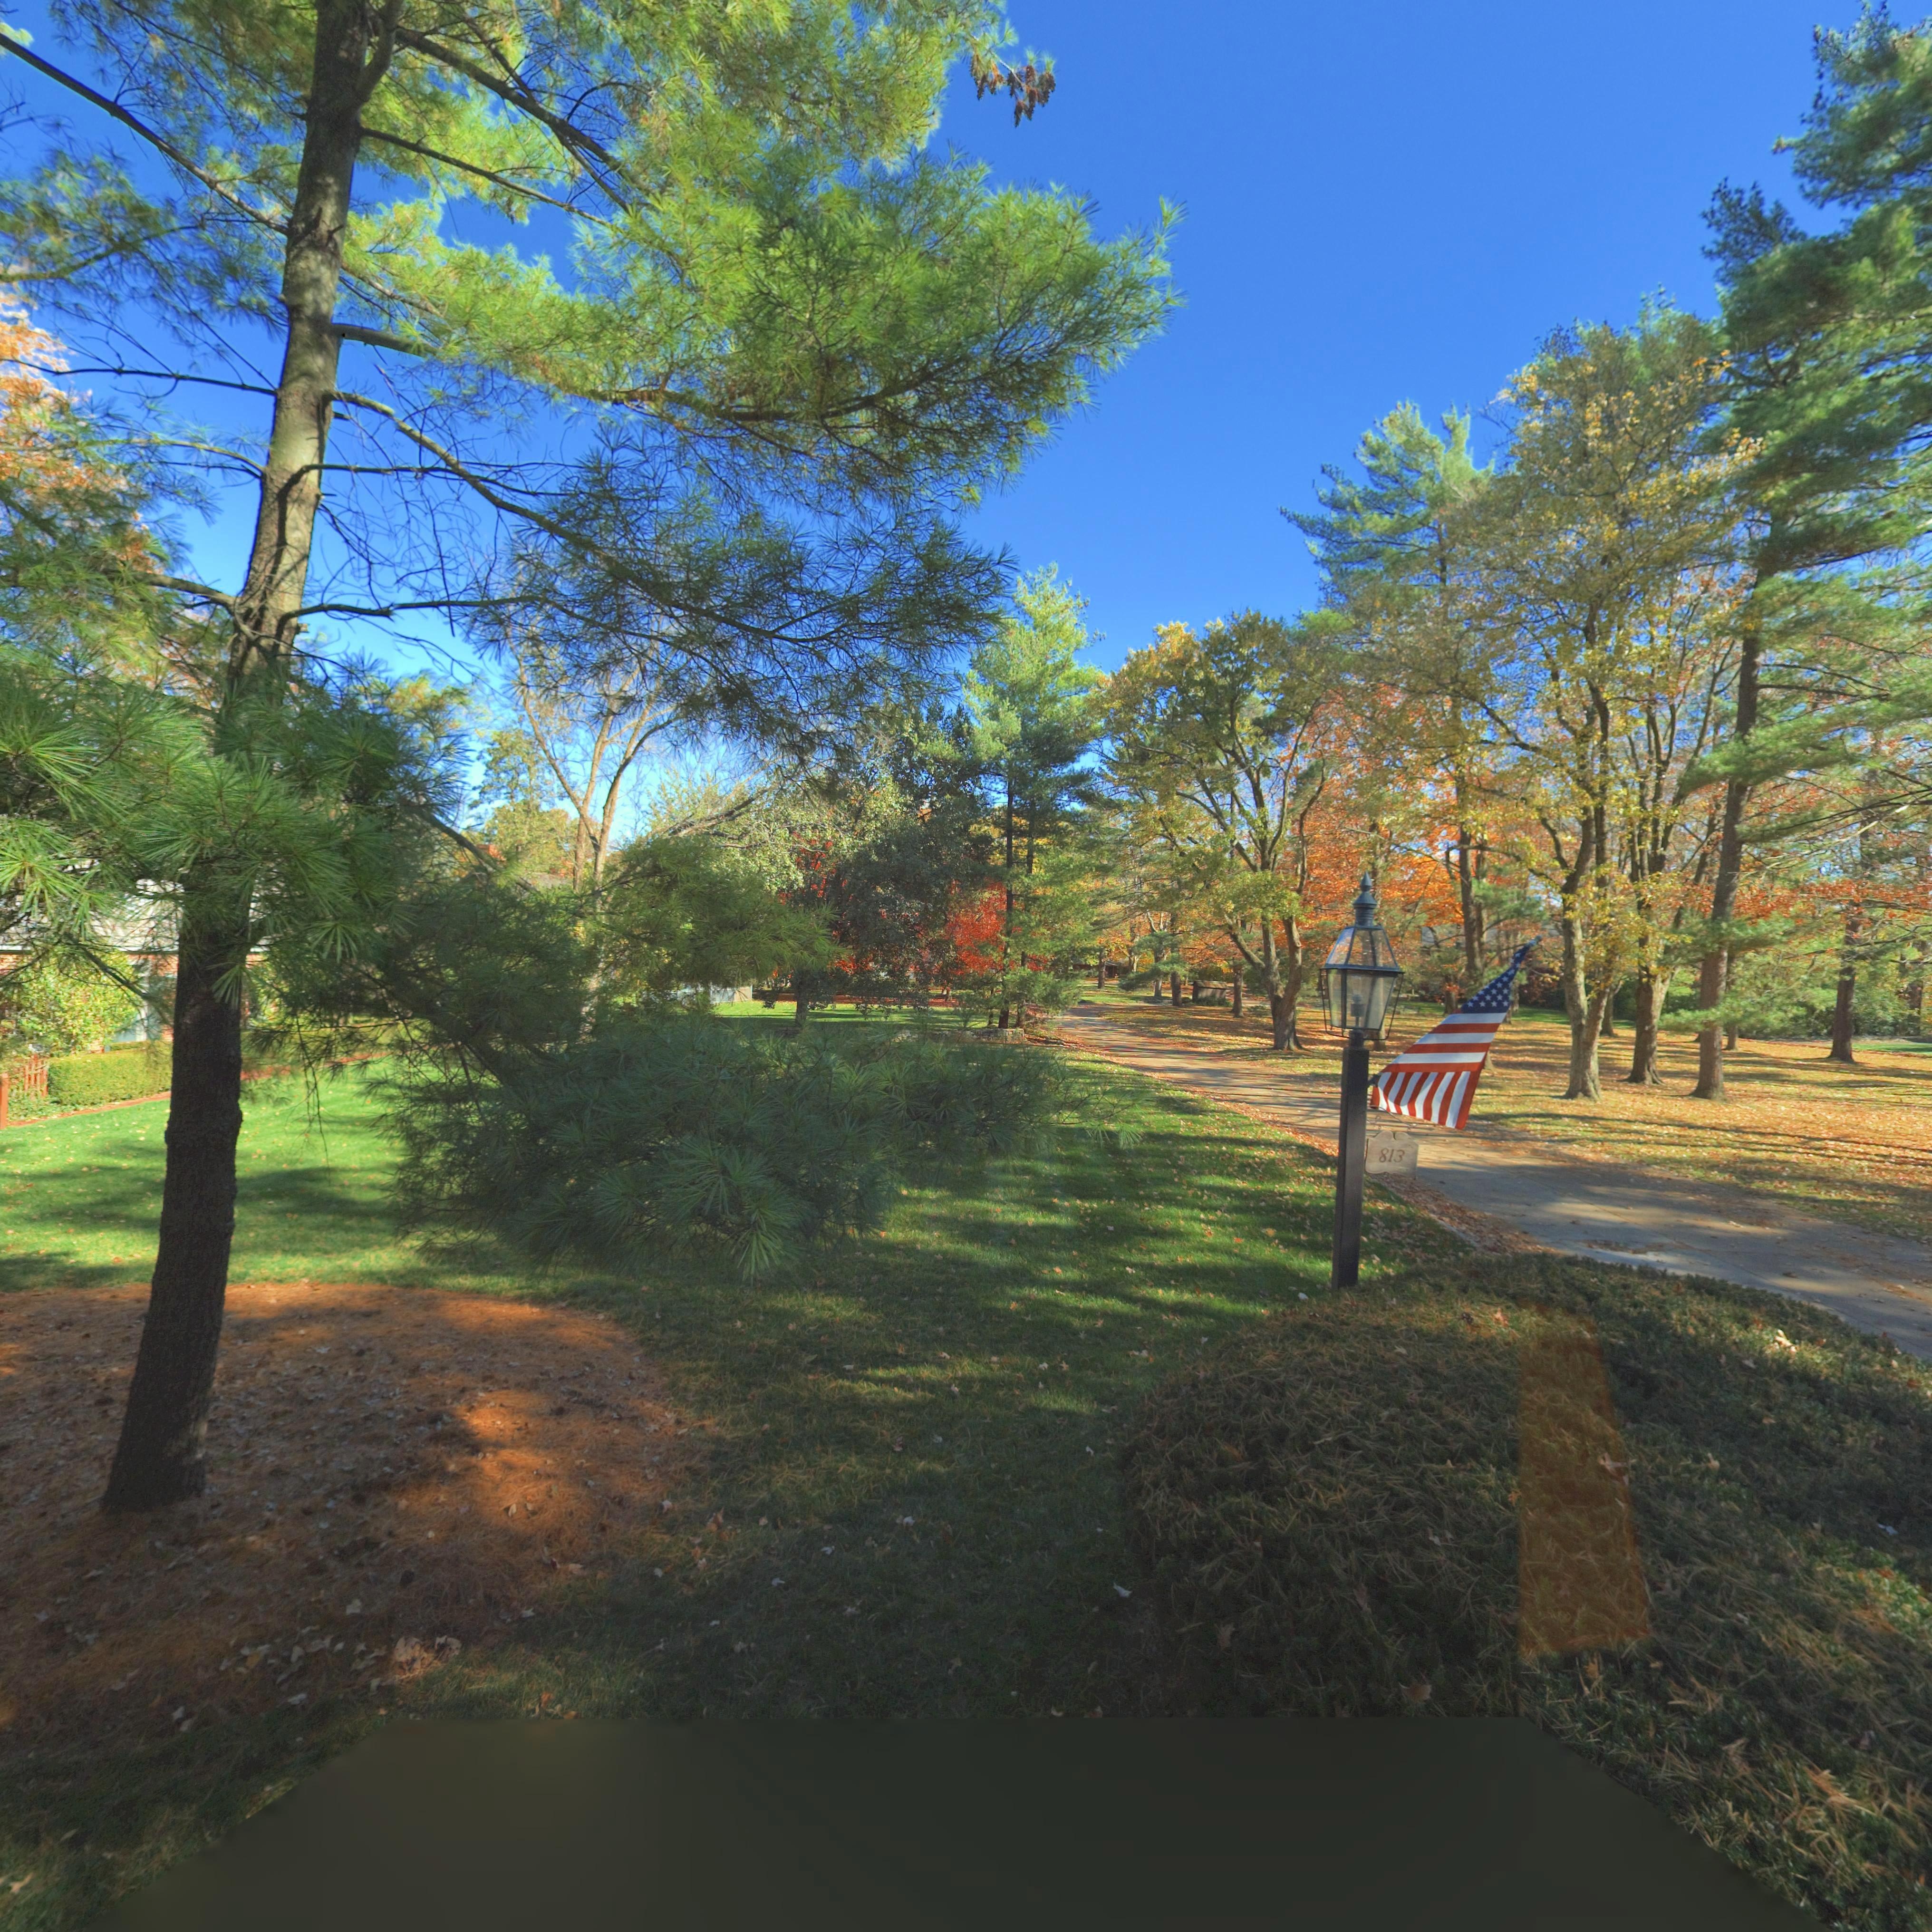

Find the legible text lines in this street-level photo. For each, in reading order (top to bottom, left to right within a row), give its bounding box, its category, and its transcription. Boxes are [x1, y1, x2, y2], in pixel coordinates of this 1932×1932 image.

[1378, 1147, 1406, 1164] StreetNumber: 813